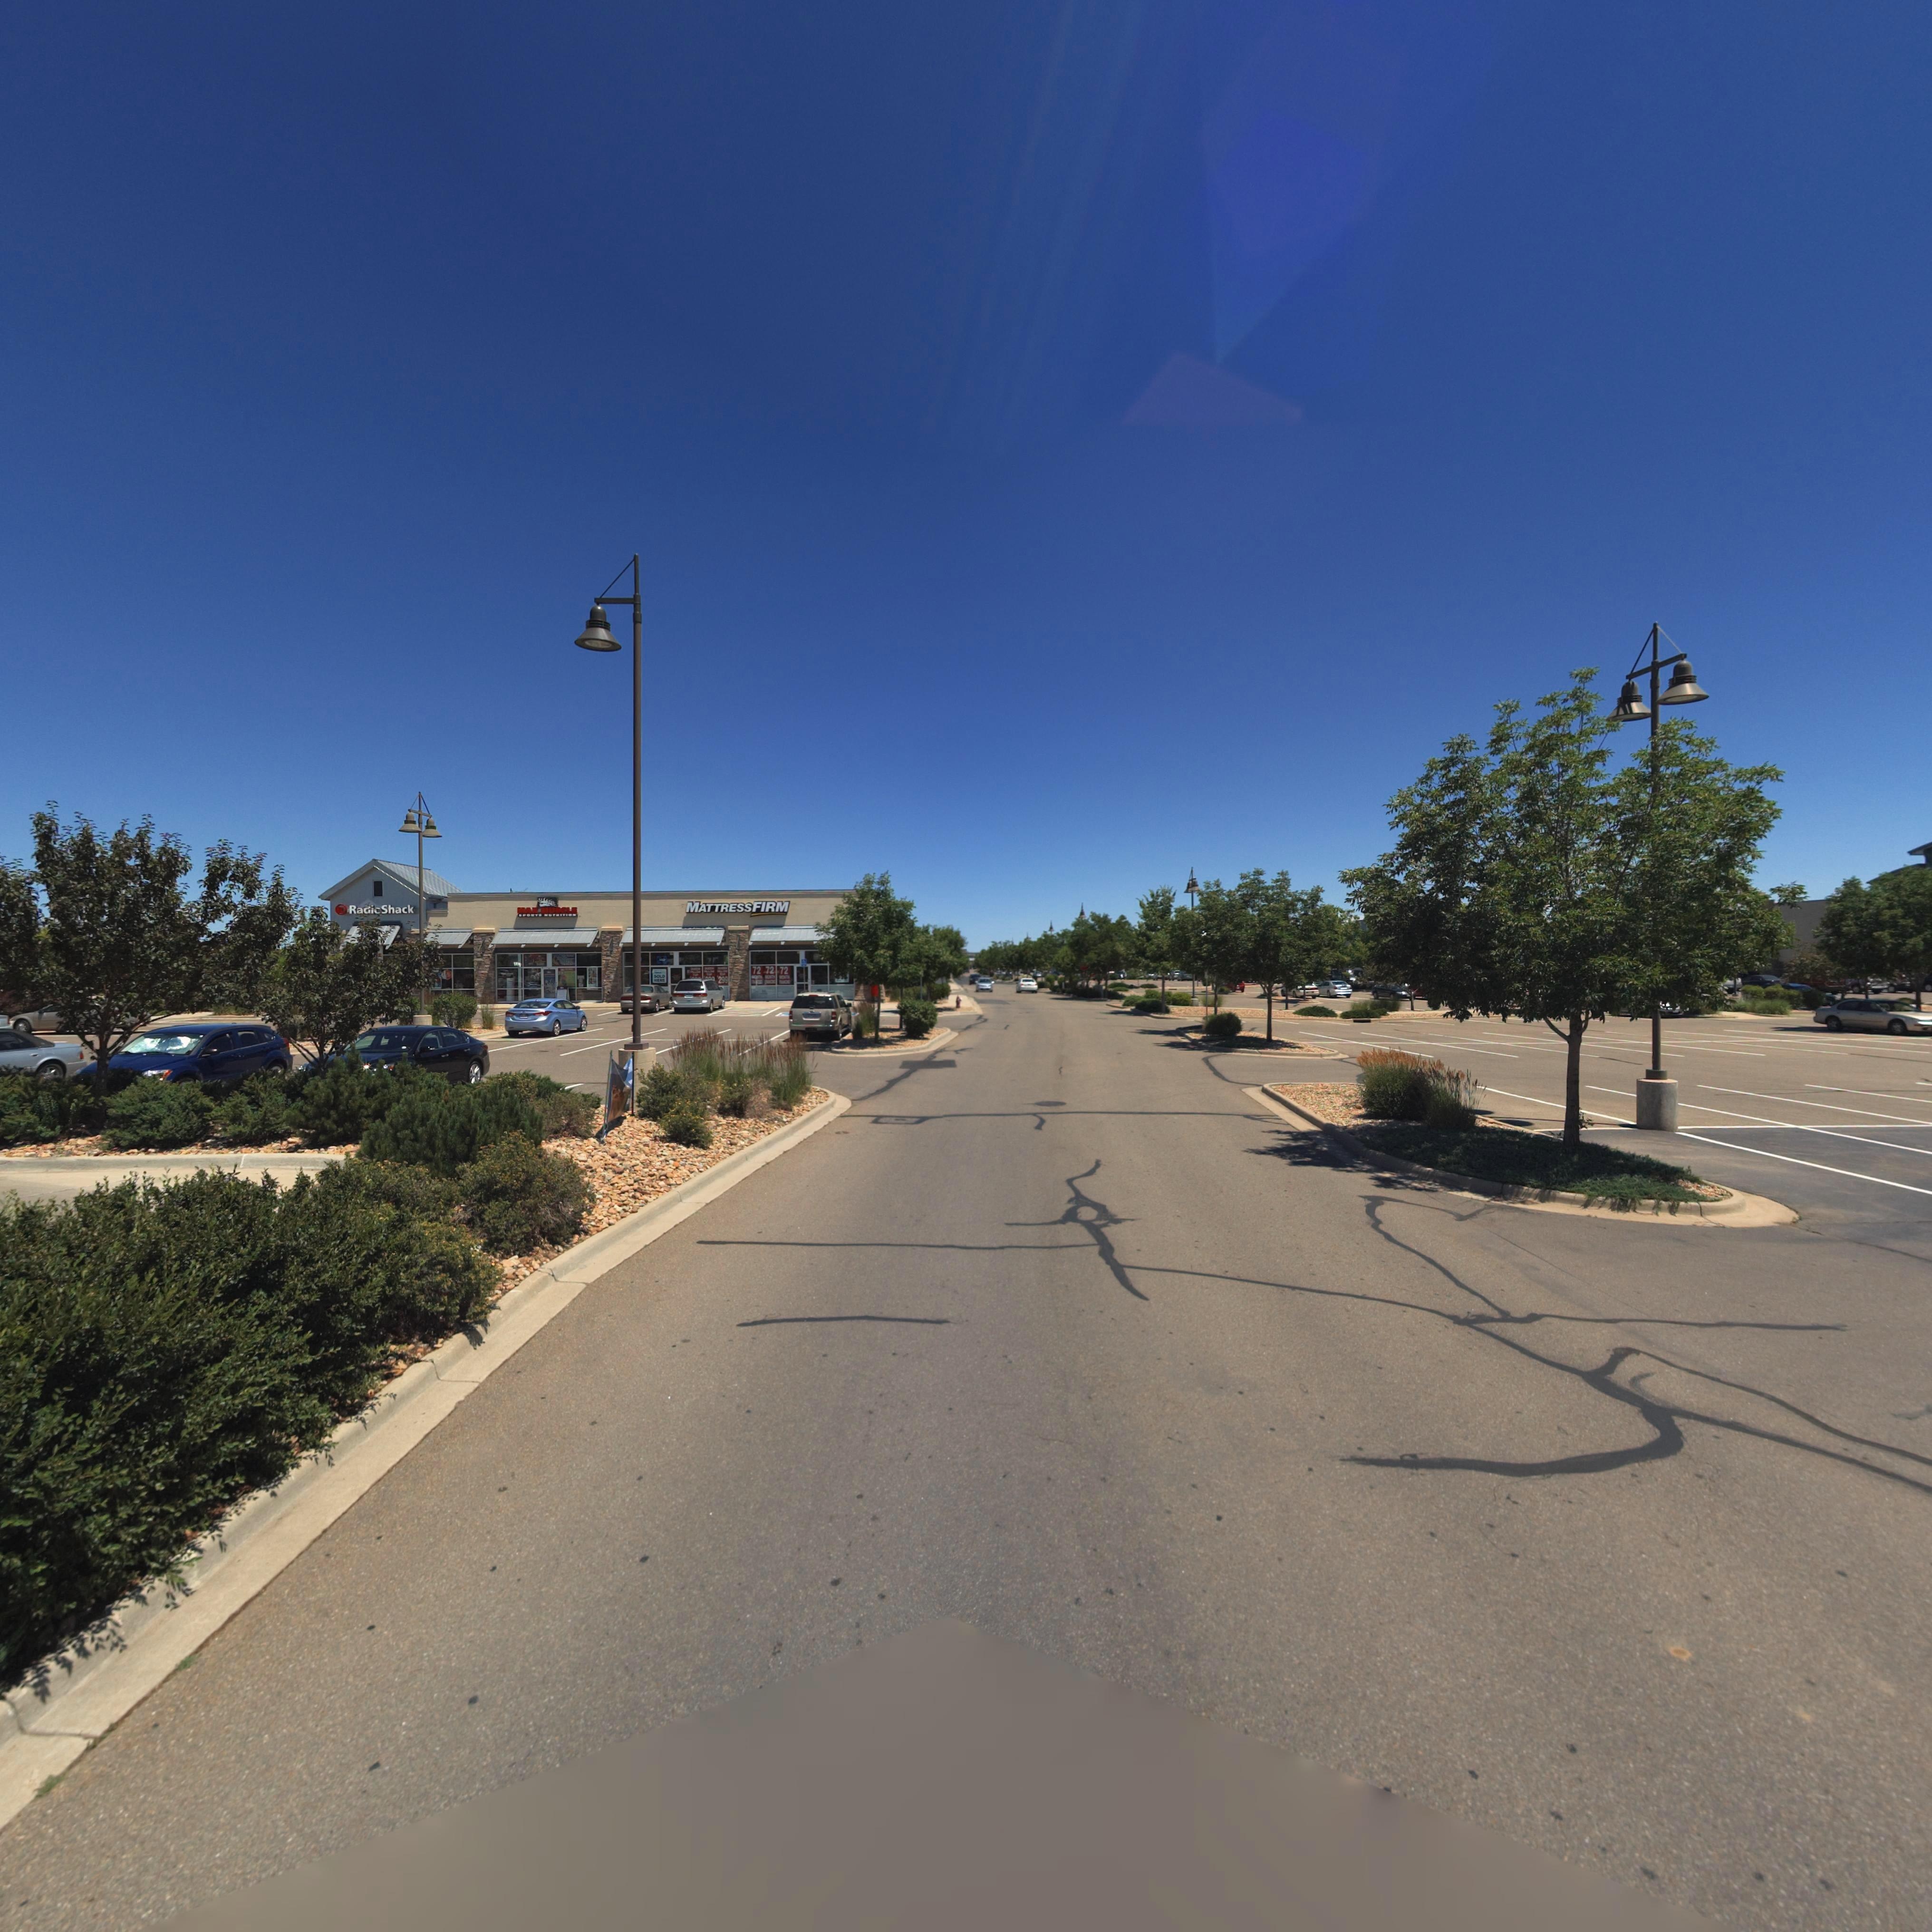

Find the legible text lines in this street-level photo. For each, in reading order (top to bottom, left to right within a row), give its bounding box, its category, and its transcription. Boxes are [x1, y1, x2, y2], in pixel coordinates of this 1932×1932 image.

[349, 904, 414, 914] BusinessName: RadioShack
[517, 907, 577, 913] BusinessName: MAX MUSCLE
[685, 901, 789, 912] BusinessName: MATTREssFIRM